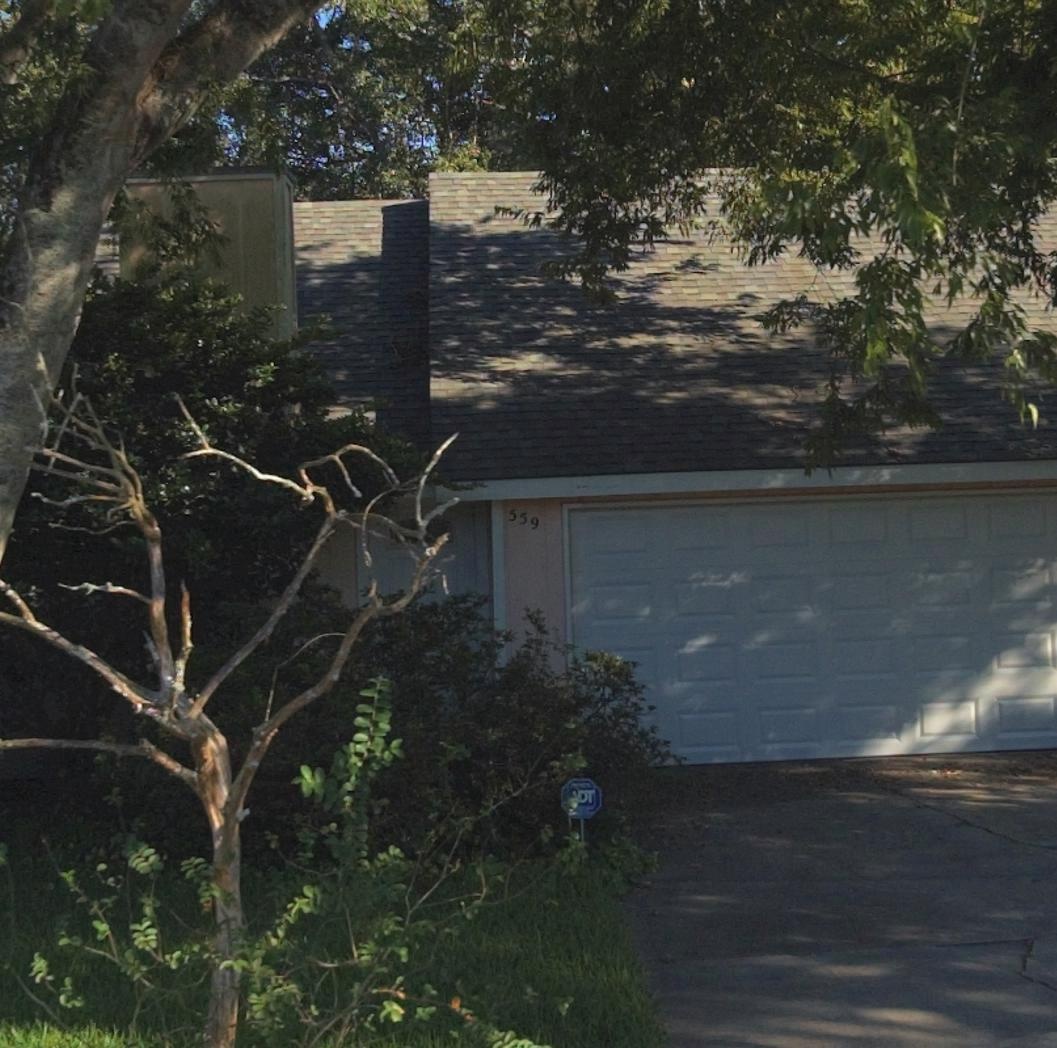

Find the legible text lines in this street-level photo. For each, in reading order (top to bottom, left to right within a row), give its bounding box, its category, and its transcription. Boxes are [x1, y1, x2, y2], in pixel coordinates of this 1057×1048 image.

[507, 508, 539, 532] StreetNumber: 559
[577, 789, 595, 804] None: DT